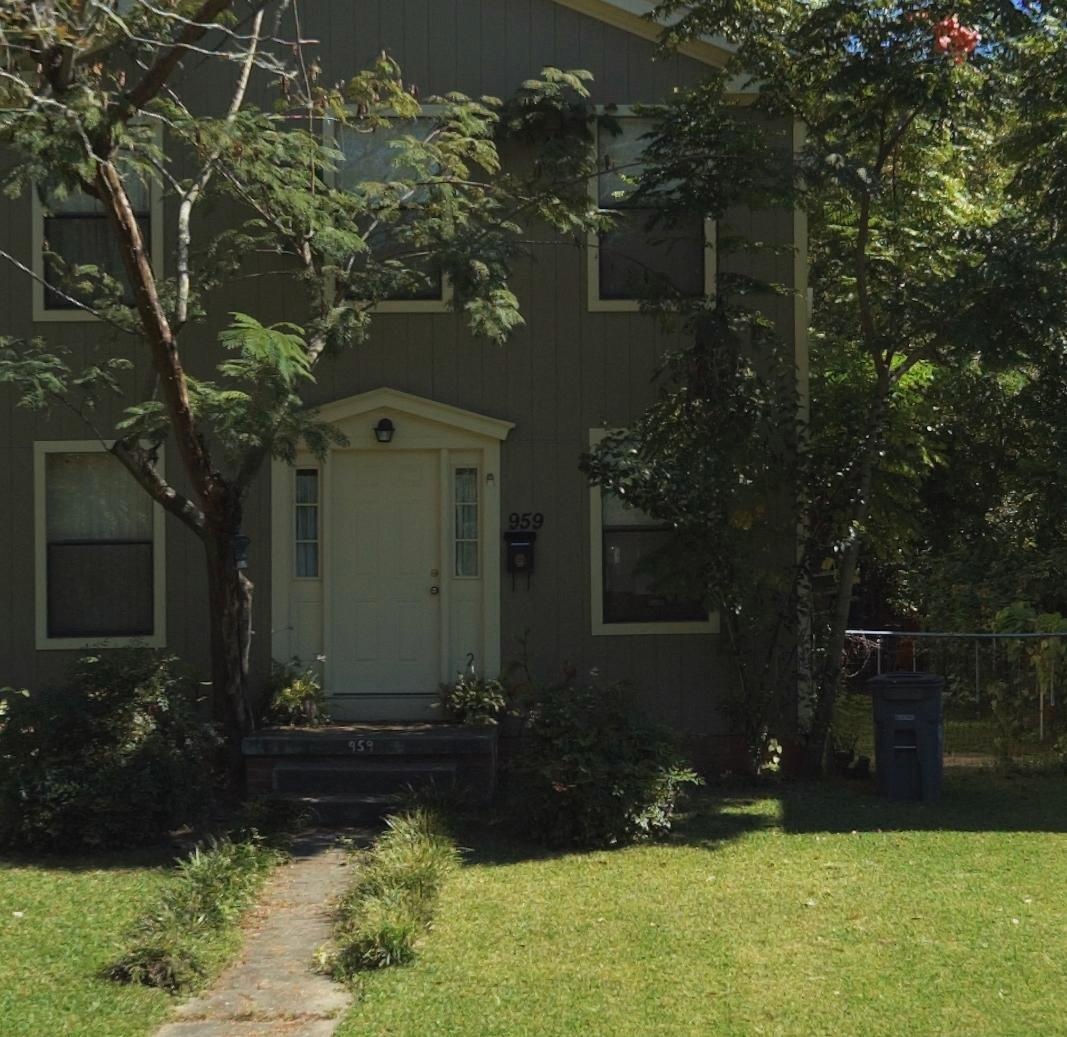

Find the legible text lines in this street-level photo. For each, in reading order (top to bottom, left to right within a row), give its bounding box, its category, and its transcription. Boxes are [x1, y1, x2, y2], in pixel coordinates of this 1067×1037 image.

[507, 510, 547, 532] StreetNumber: 959
[345, 738, 375, 755] StreetNumber: 959